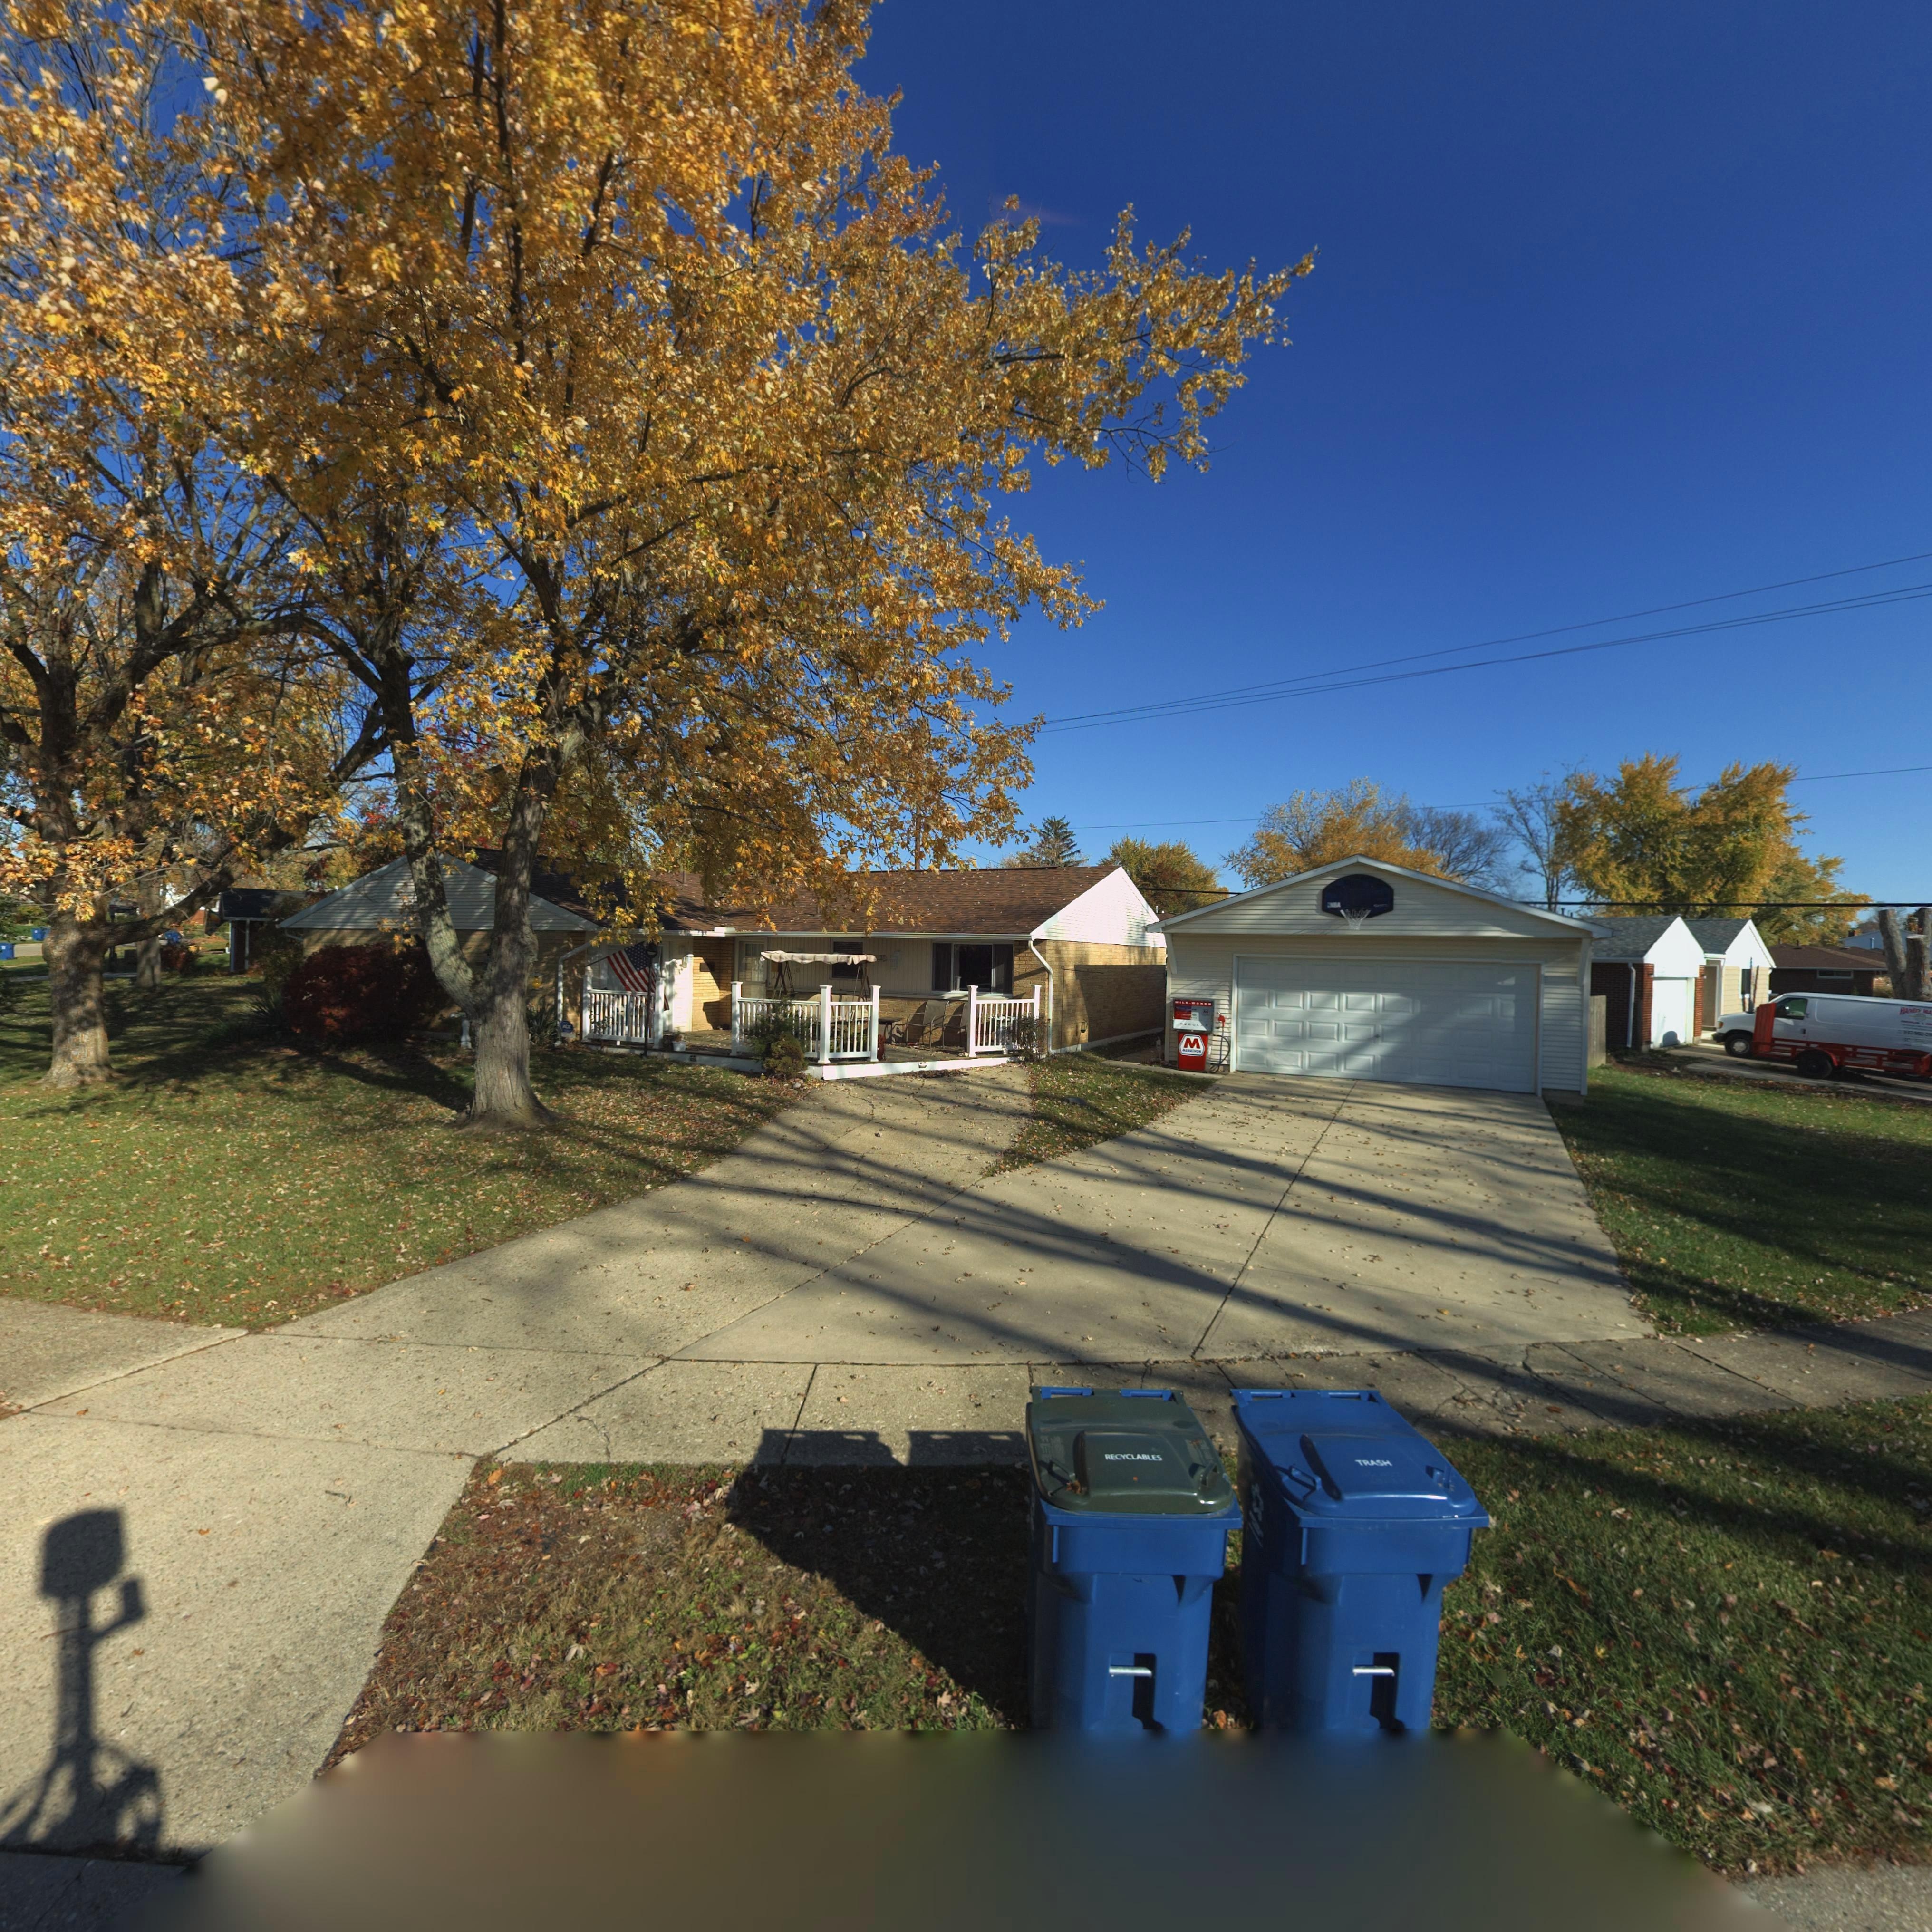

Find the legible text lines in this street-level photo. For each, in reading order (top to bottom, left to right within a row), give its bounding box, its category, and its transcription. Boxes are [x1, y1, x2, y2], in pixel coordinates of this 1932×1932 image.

[785, 966, 801, 978] StreetNumber: 7*18